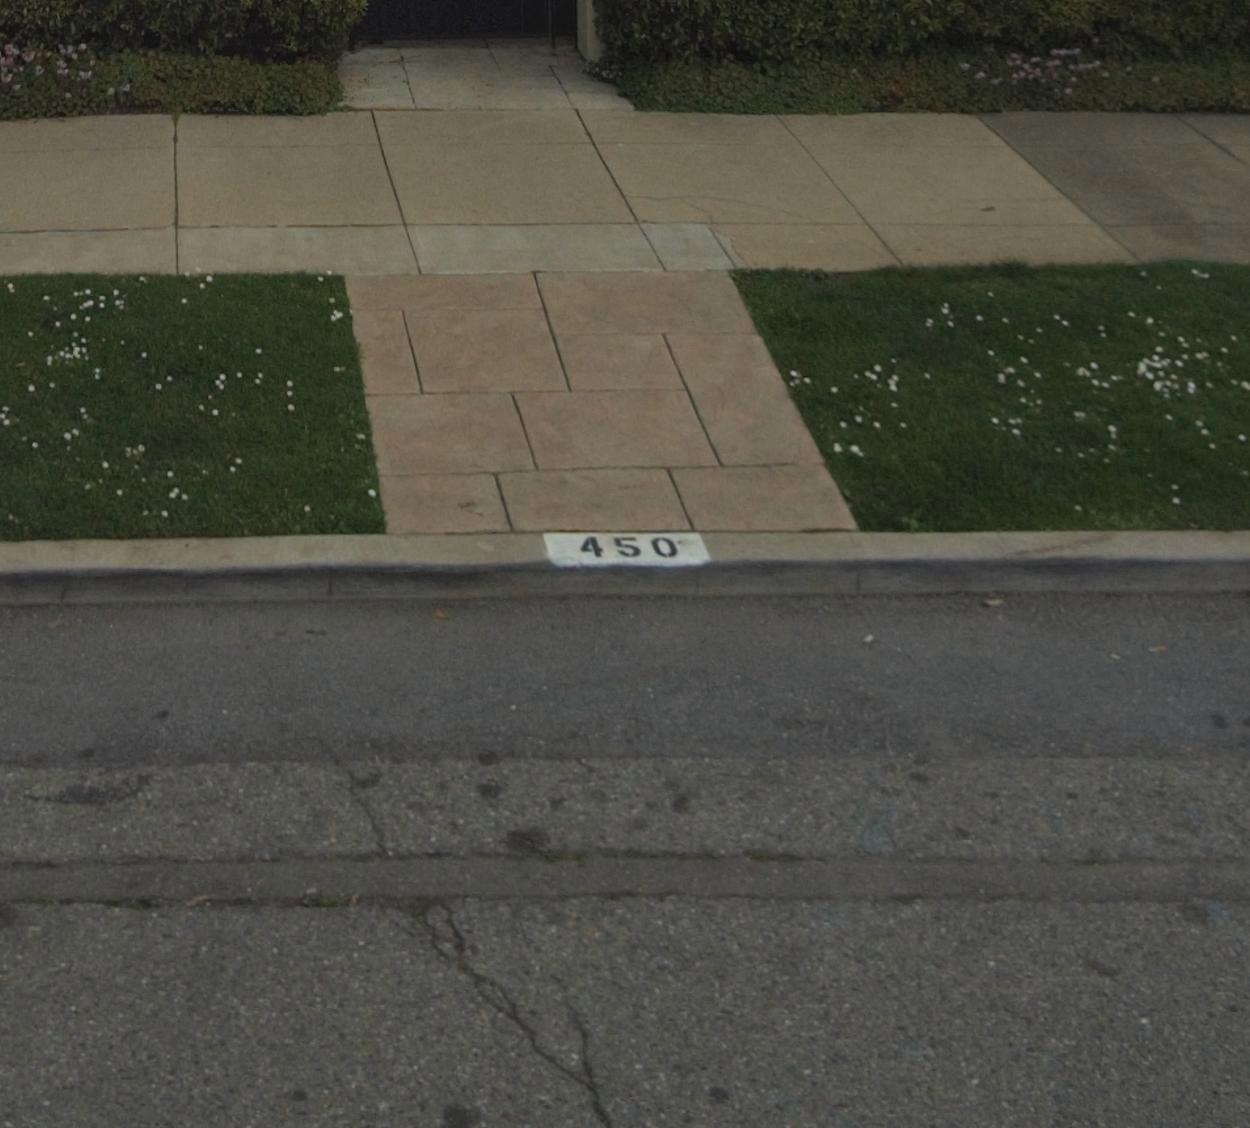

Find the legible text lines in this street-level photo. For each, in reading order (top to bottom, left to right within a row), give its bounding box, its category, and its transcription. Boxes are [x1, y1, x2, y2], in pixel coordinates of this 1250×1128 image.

[578, 535, 687, 558] StreetNumber: 450